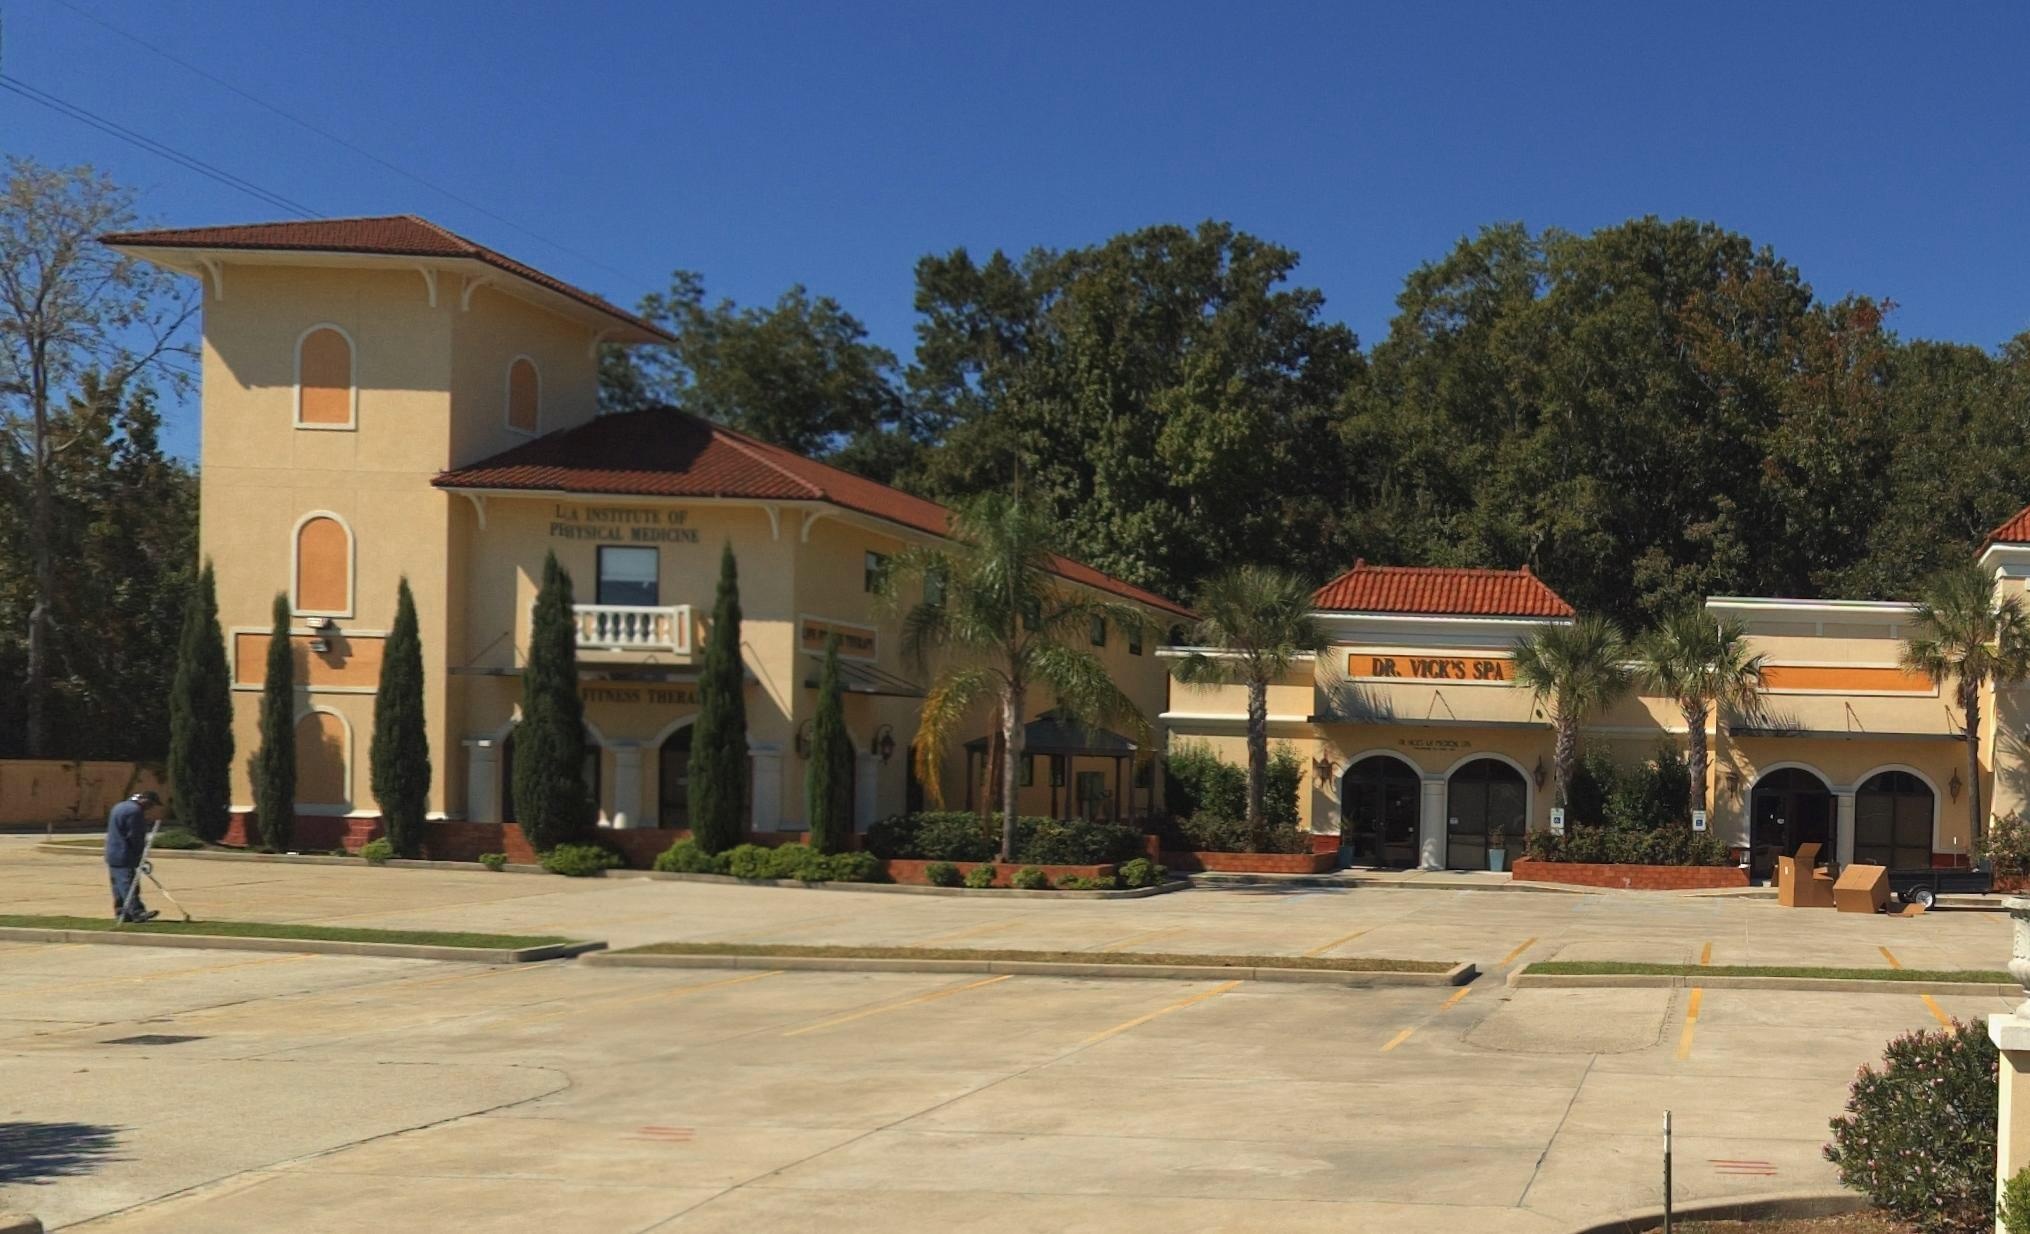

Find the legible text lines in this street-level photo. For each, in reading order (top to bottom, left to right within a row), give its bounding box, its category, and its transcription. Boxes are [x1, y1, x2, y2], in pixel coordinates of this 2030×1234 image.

[553, 501, 690, 525] BusinessName: L*A INSTITUTE OF
[549, 520, 700, 544] BusinessName: P*HYSICAL MEDICINE
[1371, 656, 1506, 682] BusinessName: DR. VICK'S SPA
[581, 685, 698, 706] BusinessName: FITNESS THERA